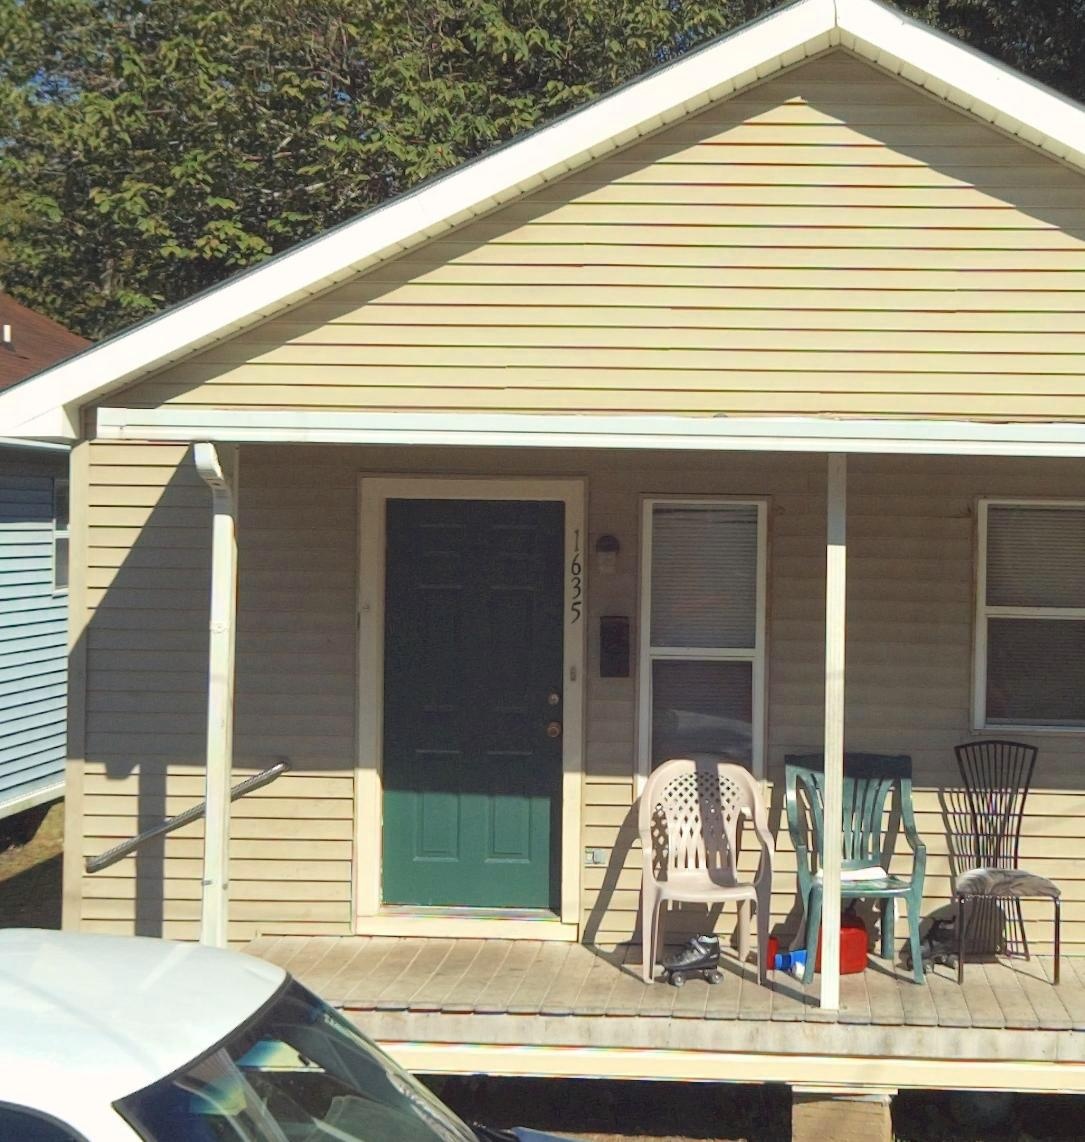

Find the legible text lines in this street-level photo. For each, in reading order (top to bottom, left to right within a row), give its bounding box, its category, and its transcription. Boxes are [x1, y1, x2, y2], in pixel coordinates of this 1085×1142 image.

[569, 526, 584, 626] StreetNumber: 1635